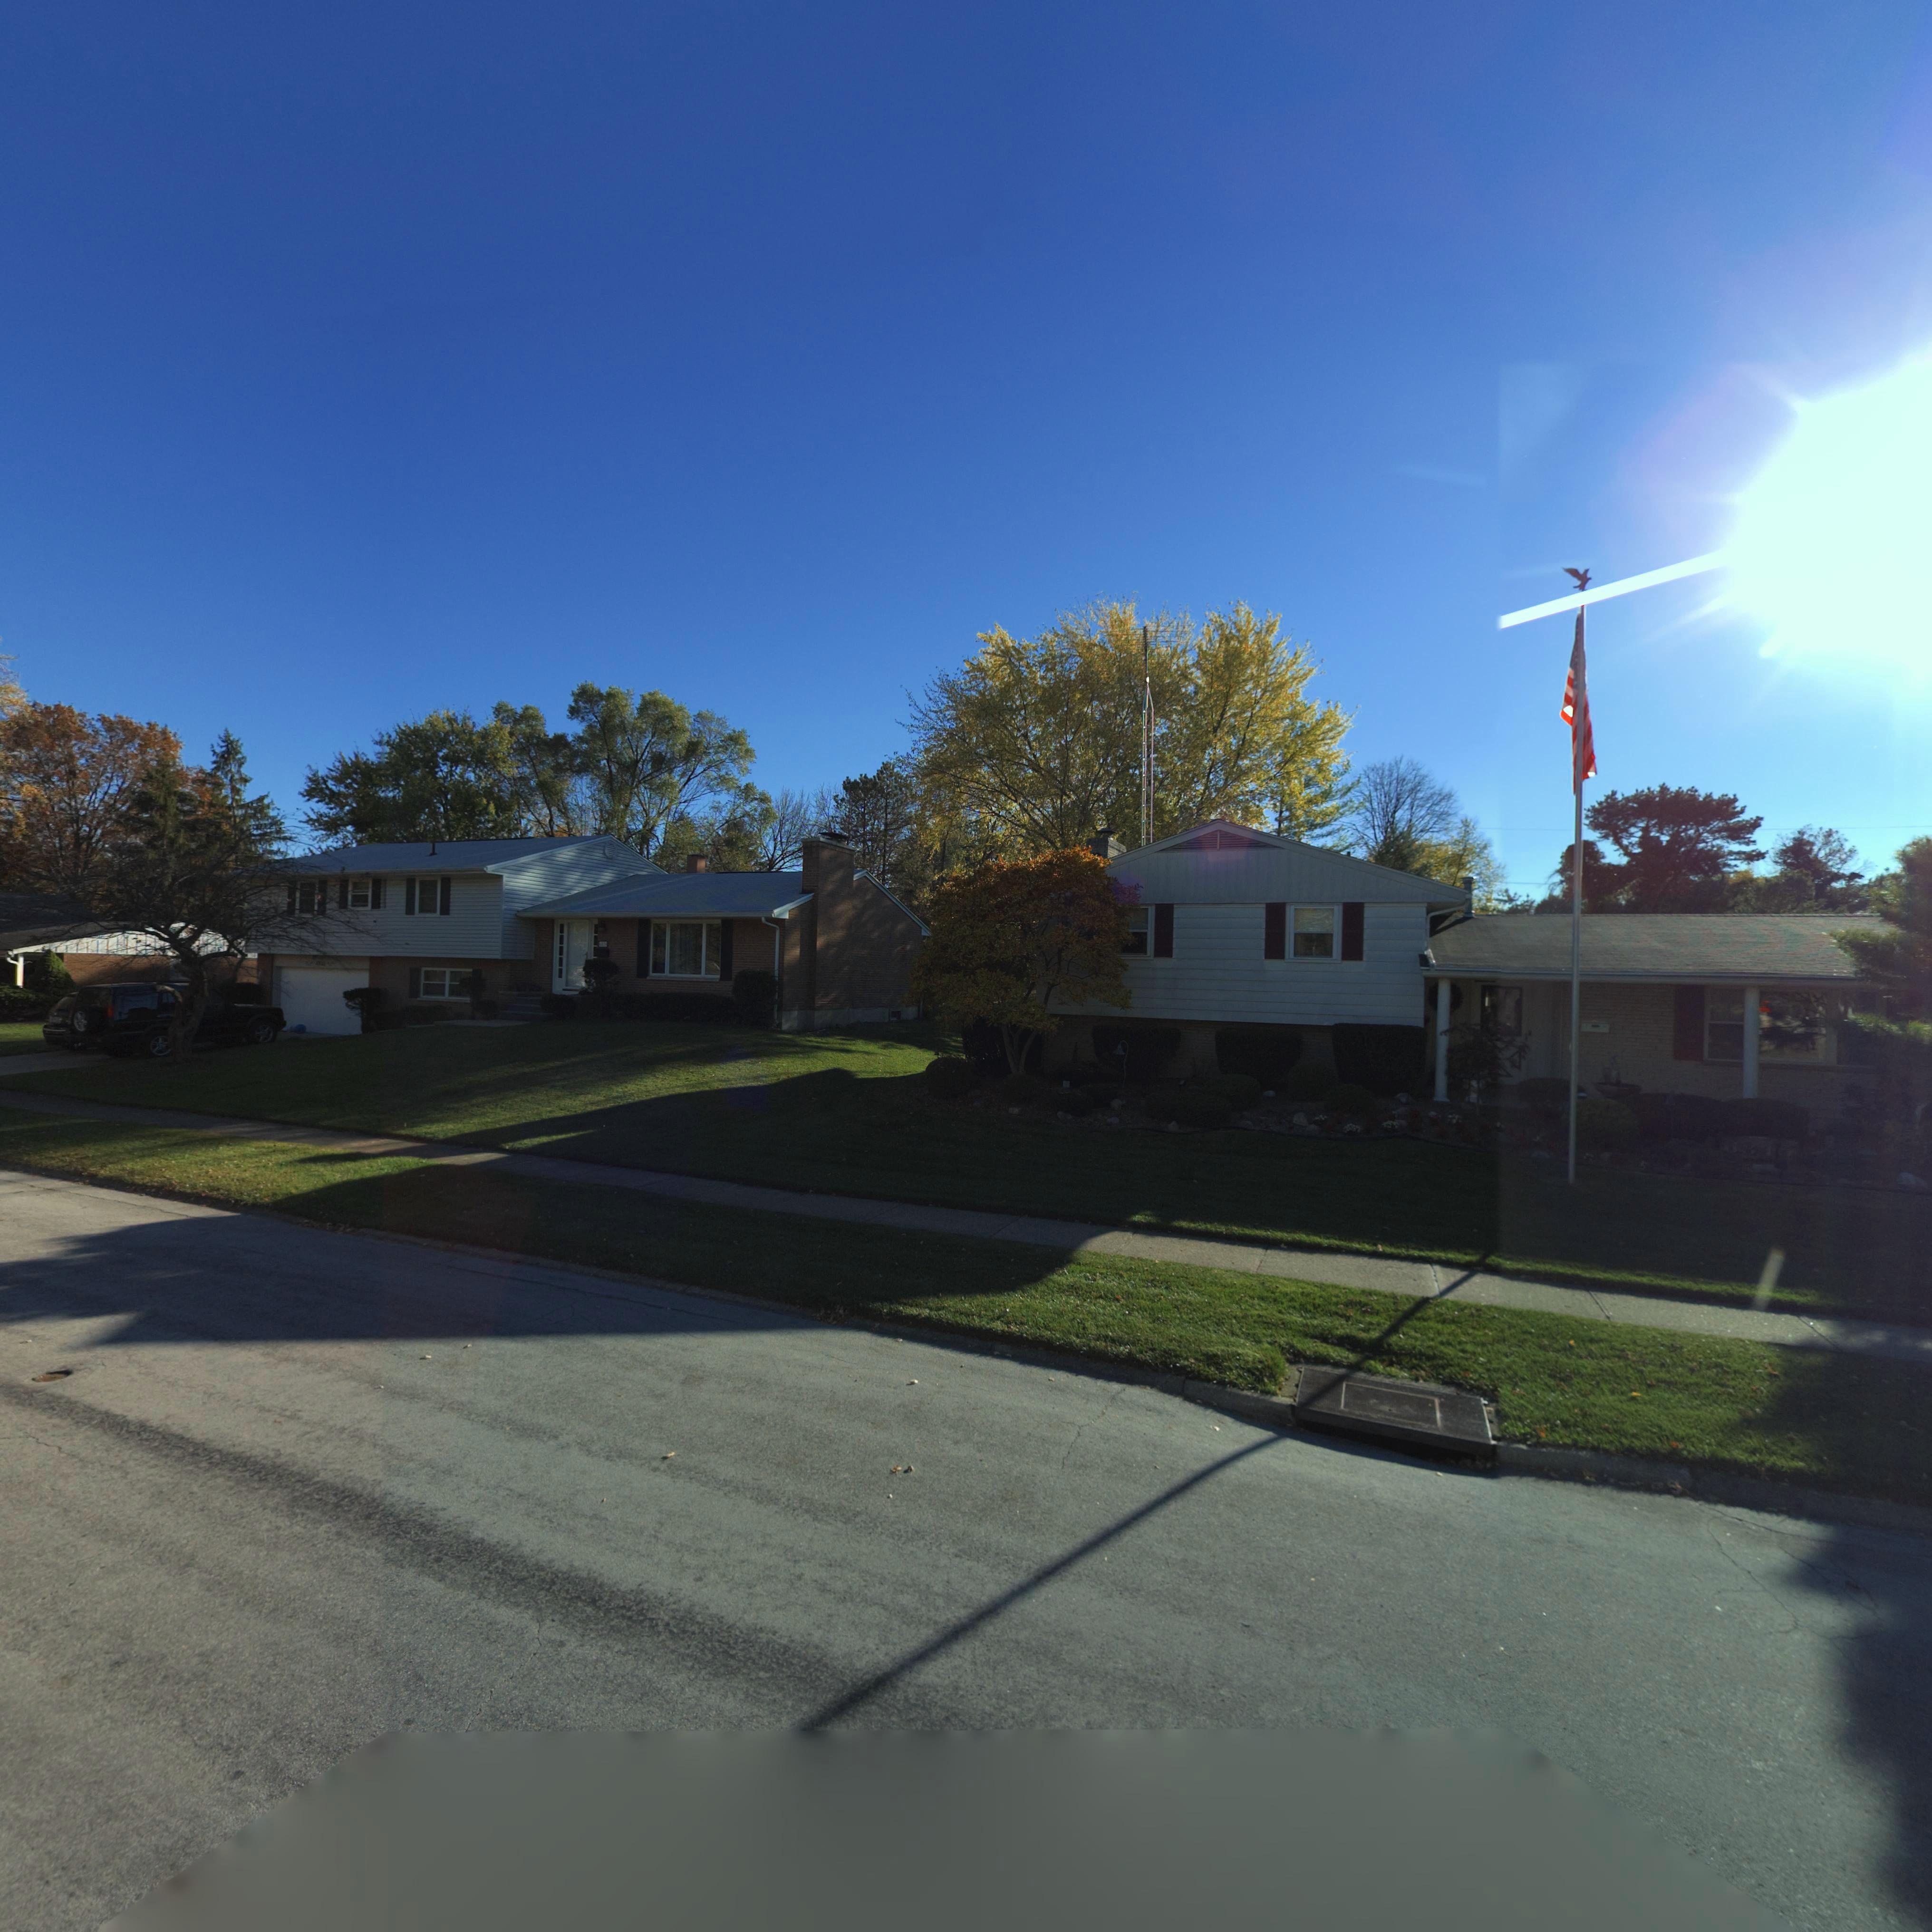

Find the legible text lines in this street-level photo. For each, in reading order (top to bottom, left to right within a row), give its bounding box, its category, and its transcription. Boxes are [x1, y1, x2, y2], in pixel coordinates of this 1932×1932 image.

[599, 941, 608, 946] StreetNumber: 68**
[1722, 1138, 1795, 1160] StreetNumber: 68*5